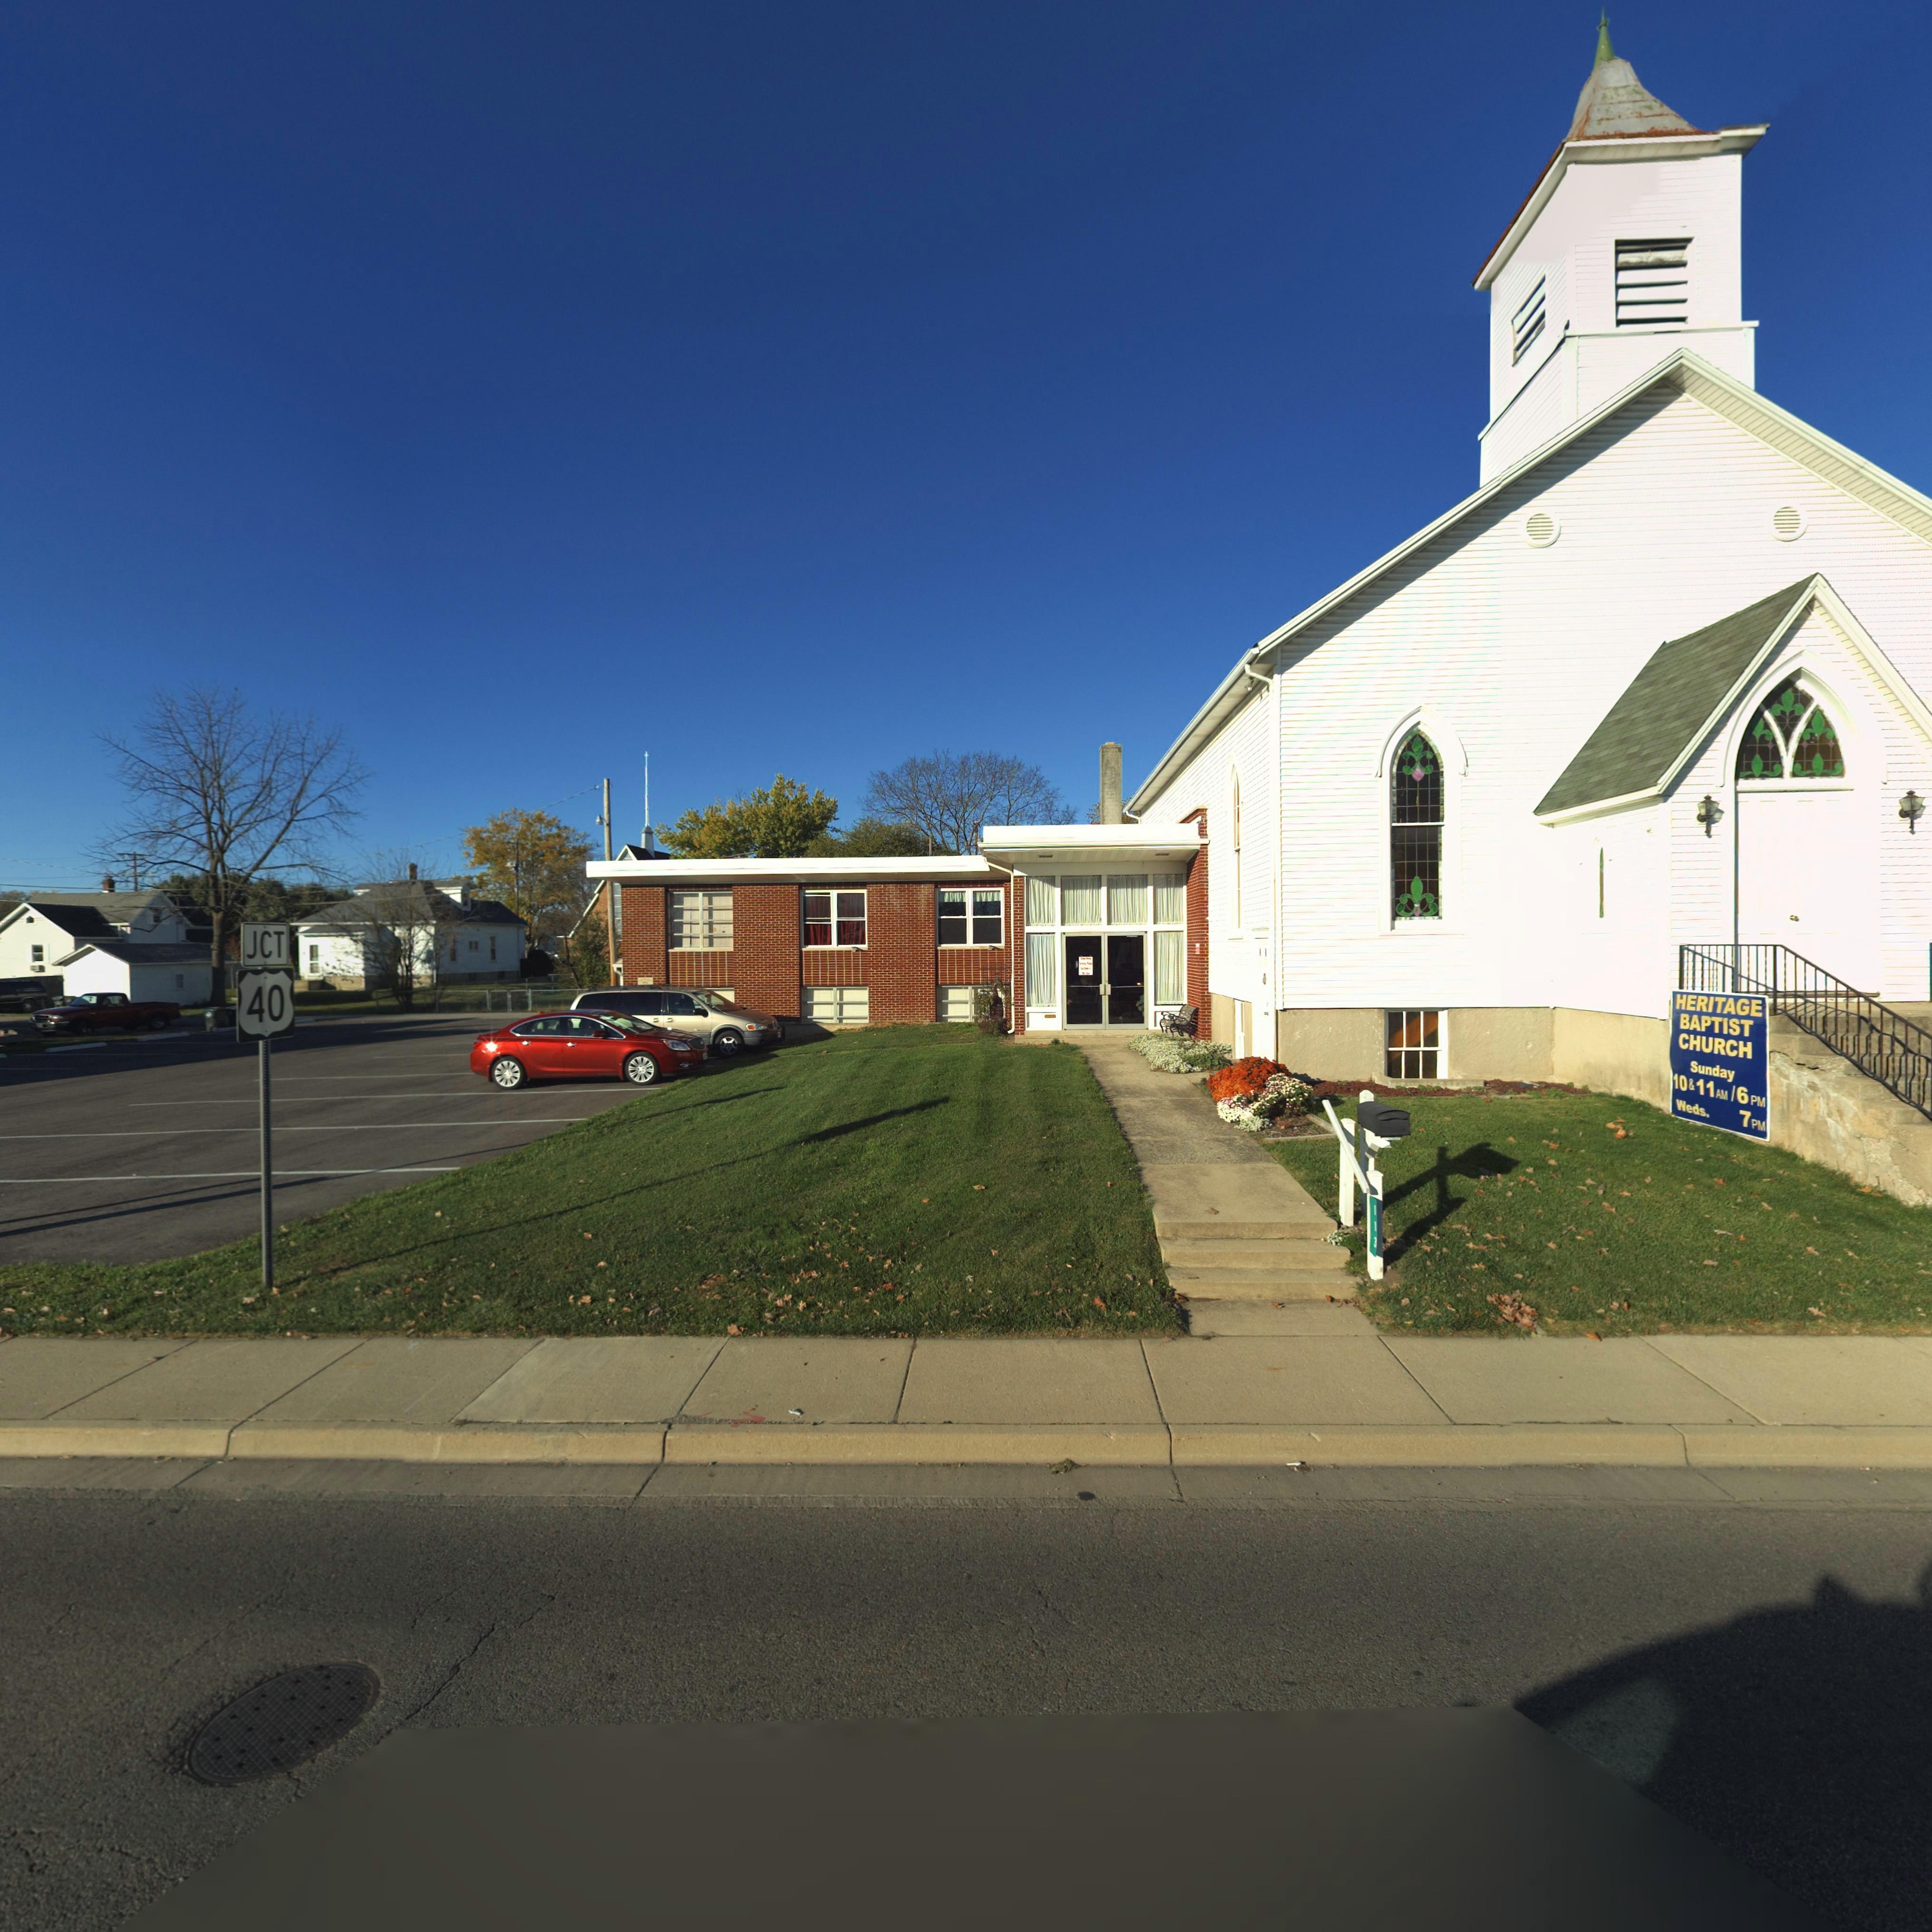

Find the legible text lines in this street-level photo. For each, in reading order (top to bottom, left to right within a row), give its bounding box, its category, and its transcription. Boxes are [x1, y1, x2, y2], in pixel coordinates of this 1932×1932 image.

[245, 927, 286, 960] None: JCT
[244, 983, 284, 1027] None: 40
[1675, 993, 1764, 1019] None: HERITAGE
[1678, 1012, 1755, 1039] None: BAPTIST
[1678, 1032, 1755, 1062] None: CHURCH
[1689, 1059, 1737, 1084] None: Sunday
[1673, 1072, 1768, 1109] None: 10&11AM/6PM
[1676, 1097, 1711, 1119] None: Weds.
[1738, 1107, 1767, 1133] None: 7PM
[1372, 1204, 1378, 1249] StreetNumber: 113